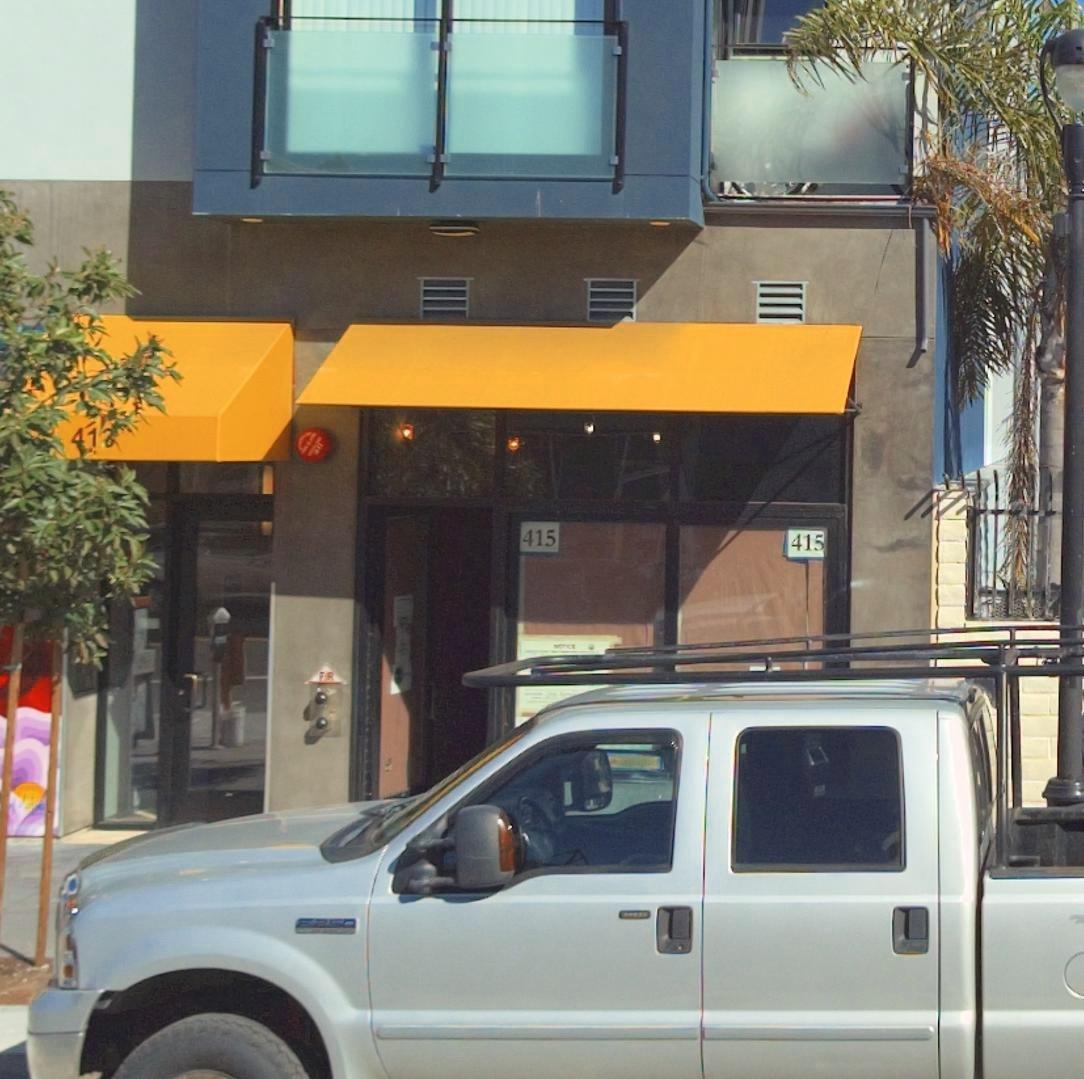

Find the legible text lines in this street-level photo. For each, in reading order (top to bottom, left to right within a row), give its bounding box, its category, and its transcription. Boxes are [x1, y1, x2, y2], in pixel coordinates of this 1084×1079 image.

[522, 528, 557, 548] StreetNumber: 415
[790, 532, 825, 552] StreetNumber: 415